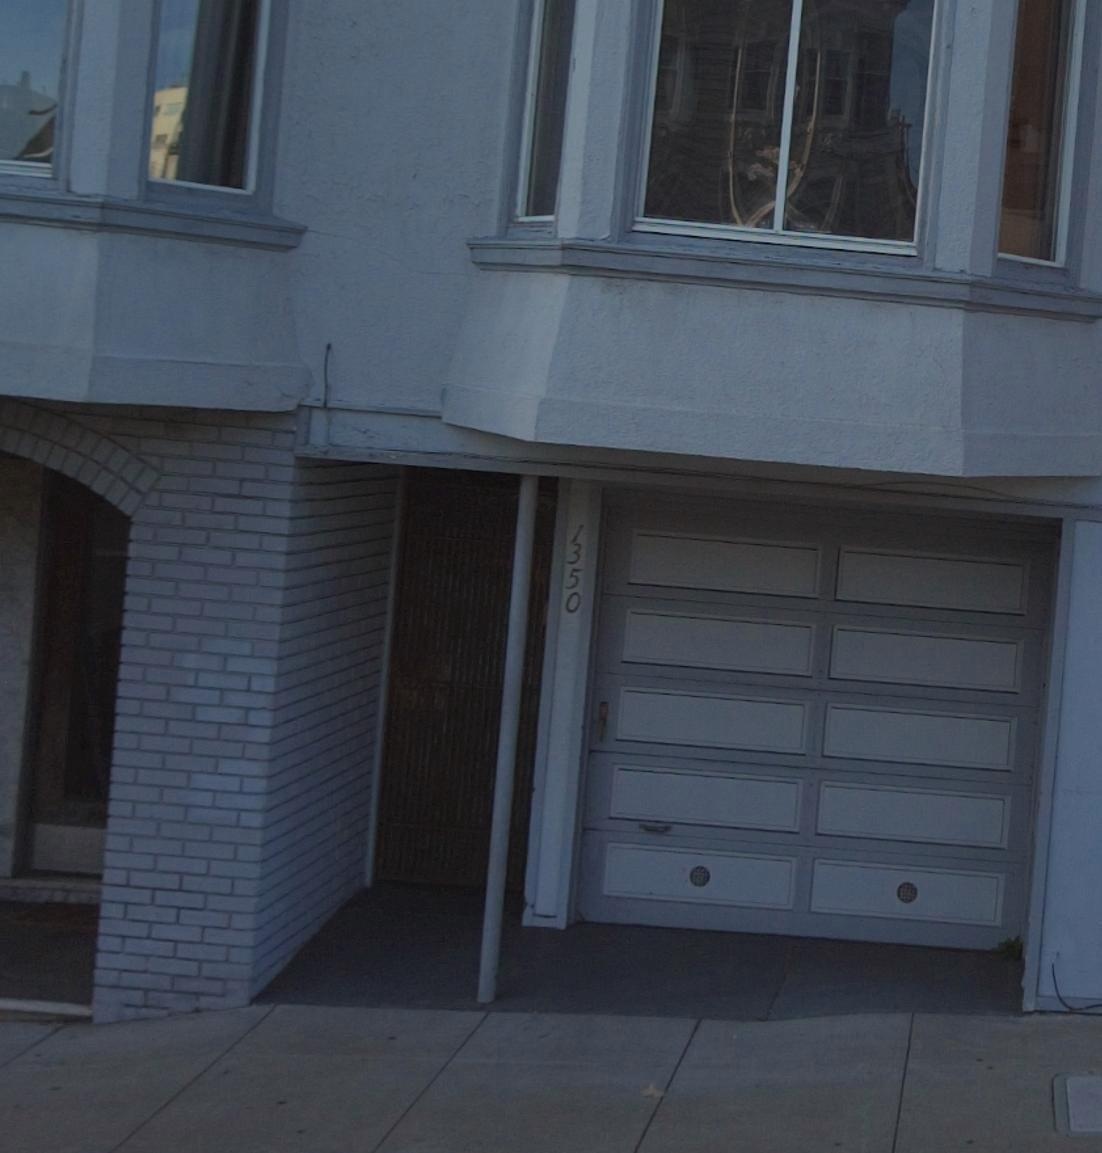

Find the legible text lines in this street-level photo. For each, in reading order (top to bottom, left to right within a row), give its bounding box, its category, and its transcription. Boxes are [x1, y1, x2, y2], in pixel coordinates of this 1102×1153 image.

[560, 520, 588, 615] StreetNumber: 1350